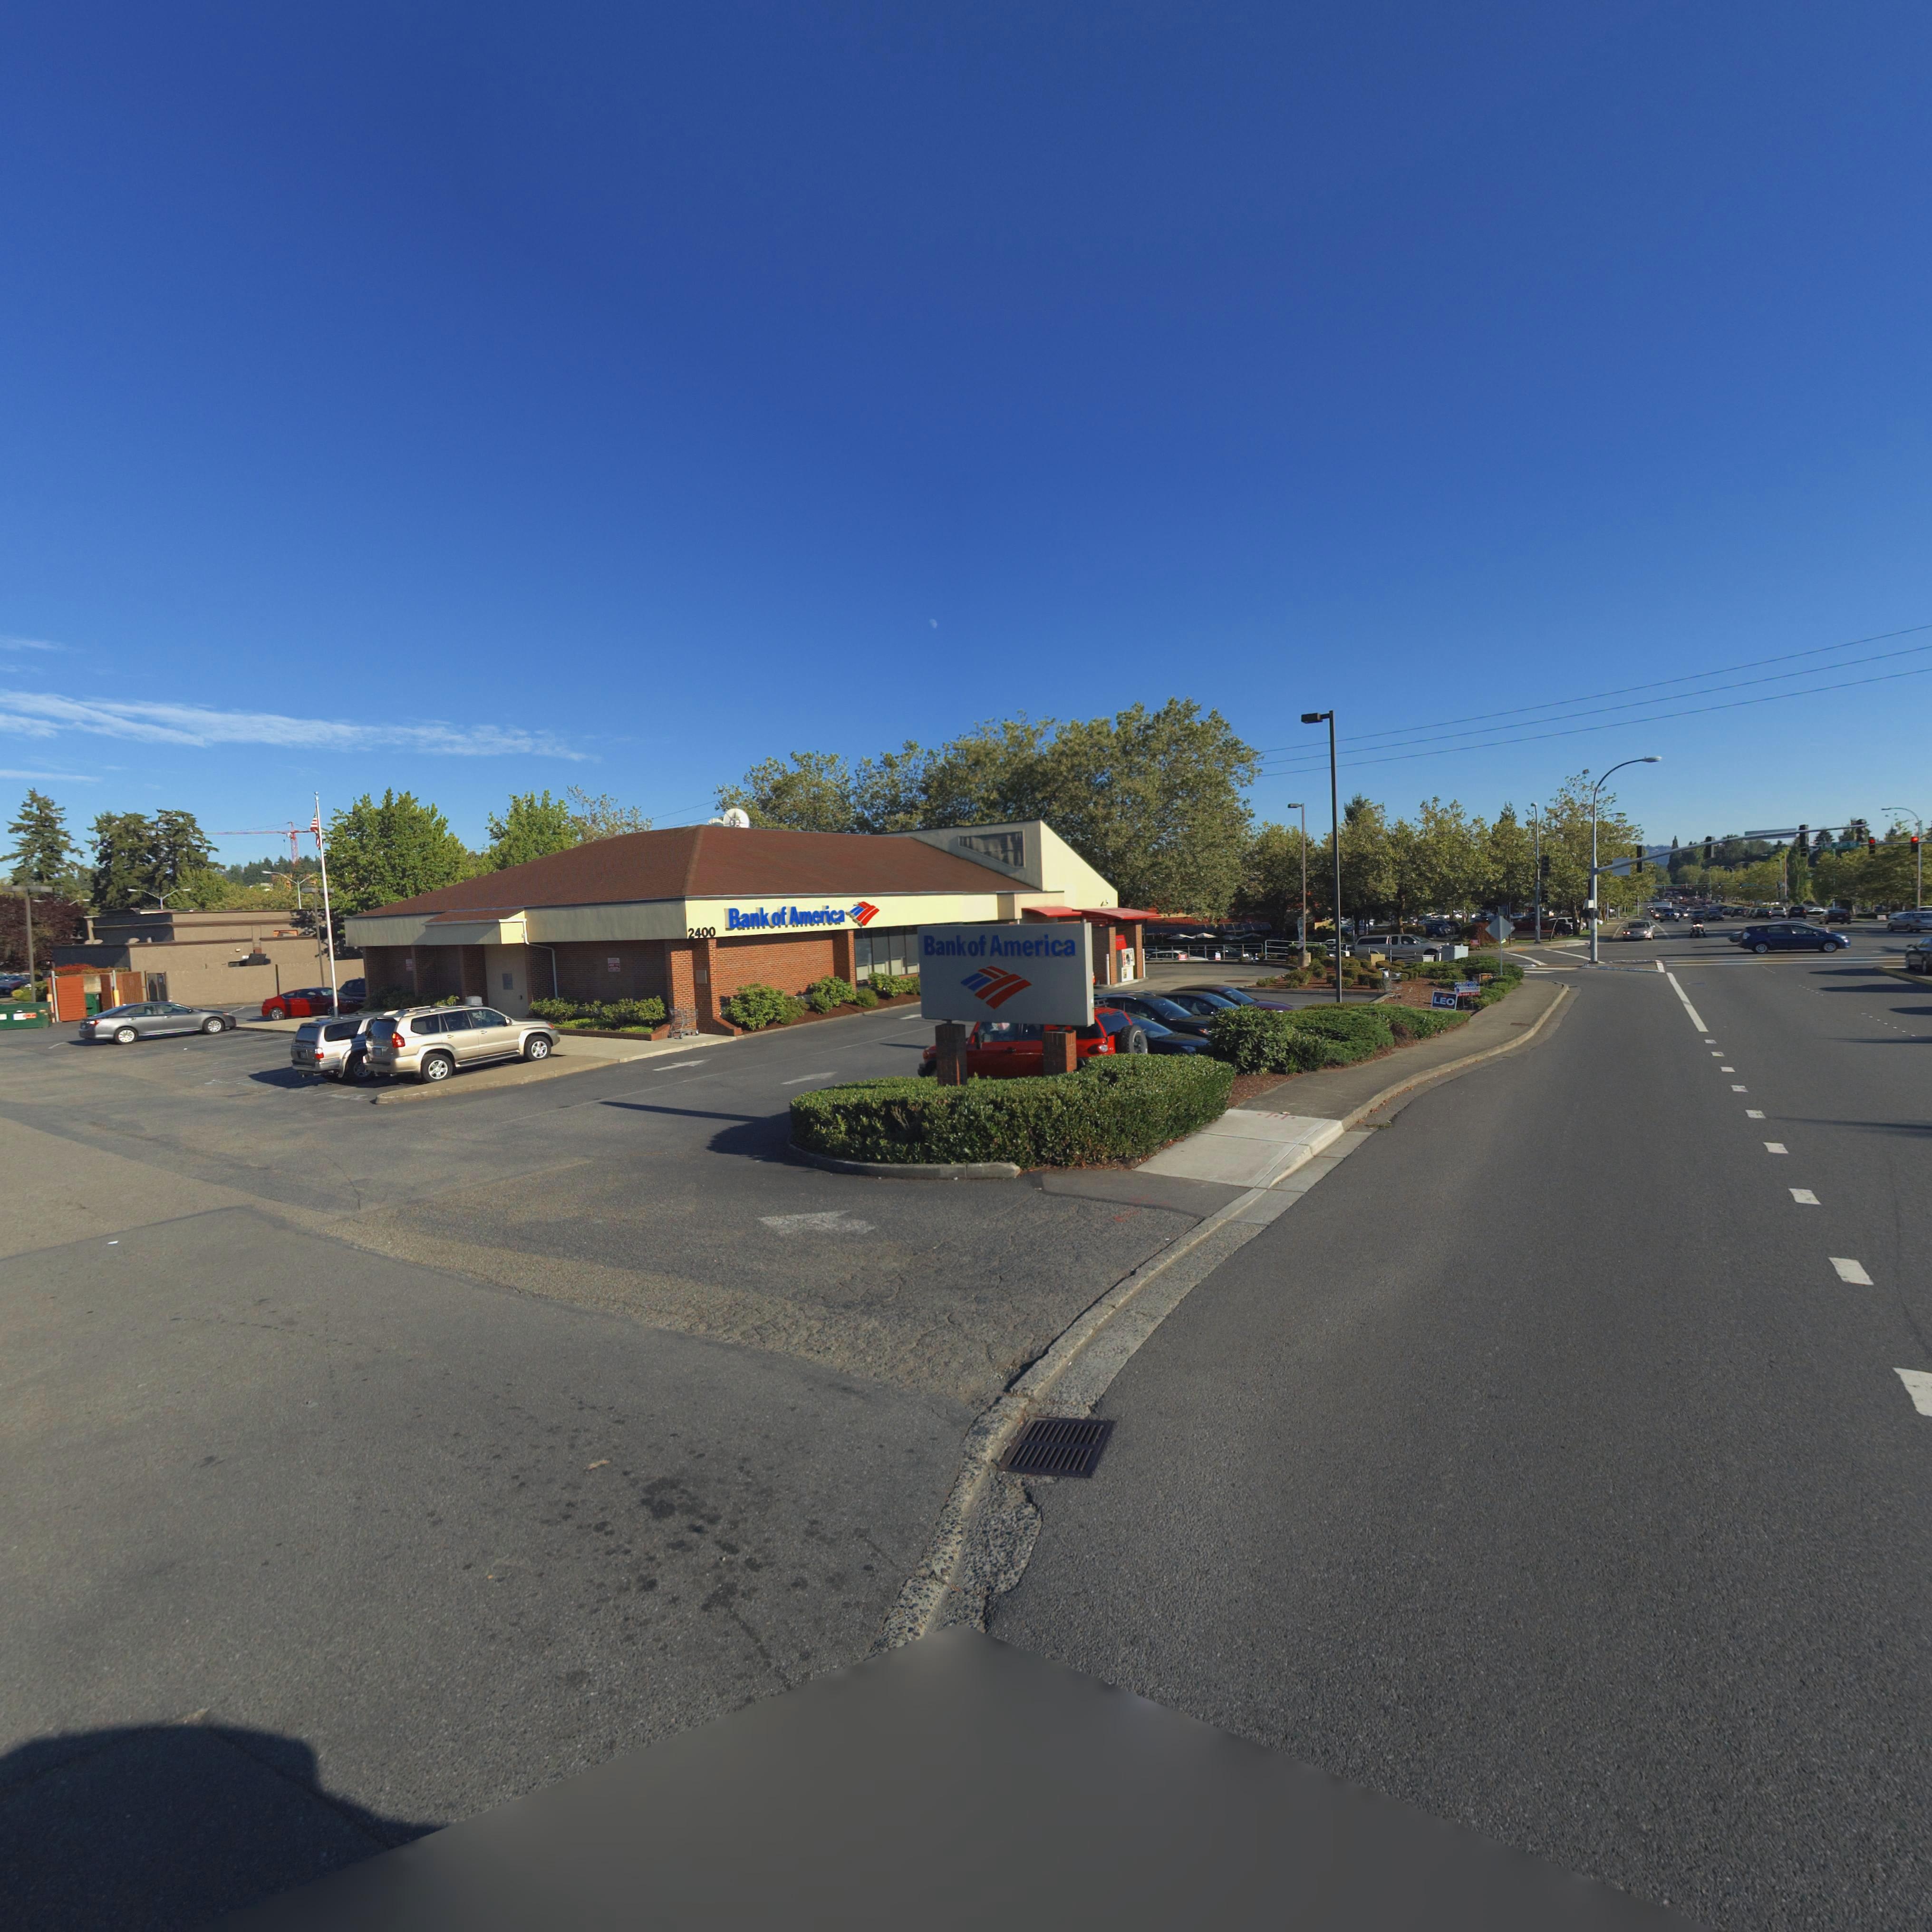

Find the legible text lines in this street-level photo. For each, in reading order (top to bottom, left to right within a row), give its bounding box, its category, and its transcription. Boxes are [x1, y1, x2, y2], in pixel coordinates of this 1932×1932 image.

[723, 904, 847, 930] BusinessName: Bank of America
[687, 926, 716, 939] StreetNumber: 2400
[922, 933, 1076, 956] BusinessName: Bank of America